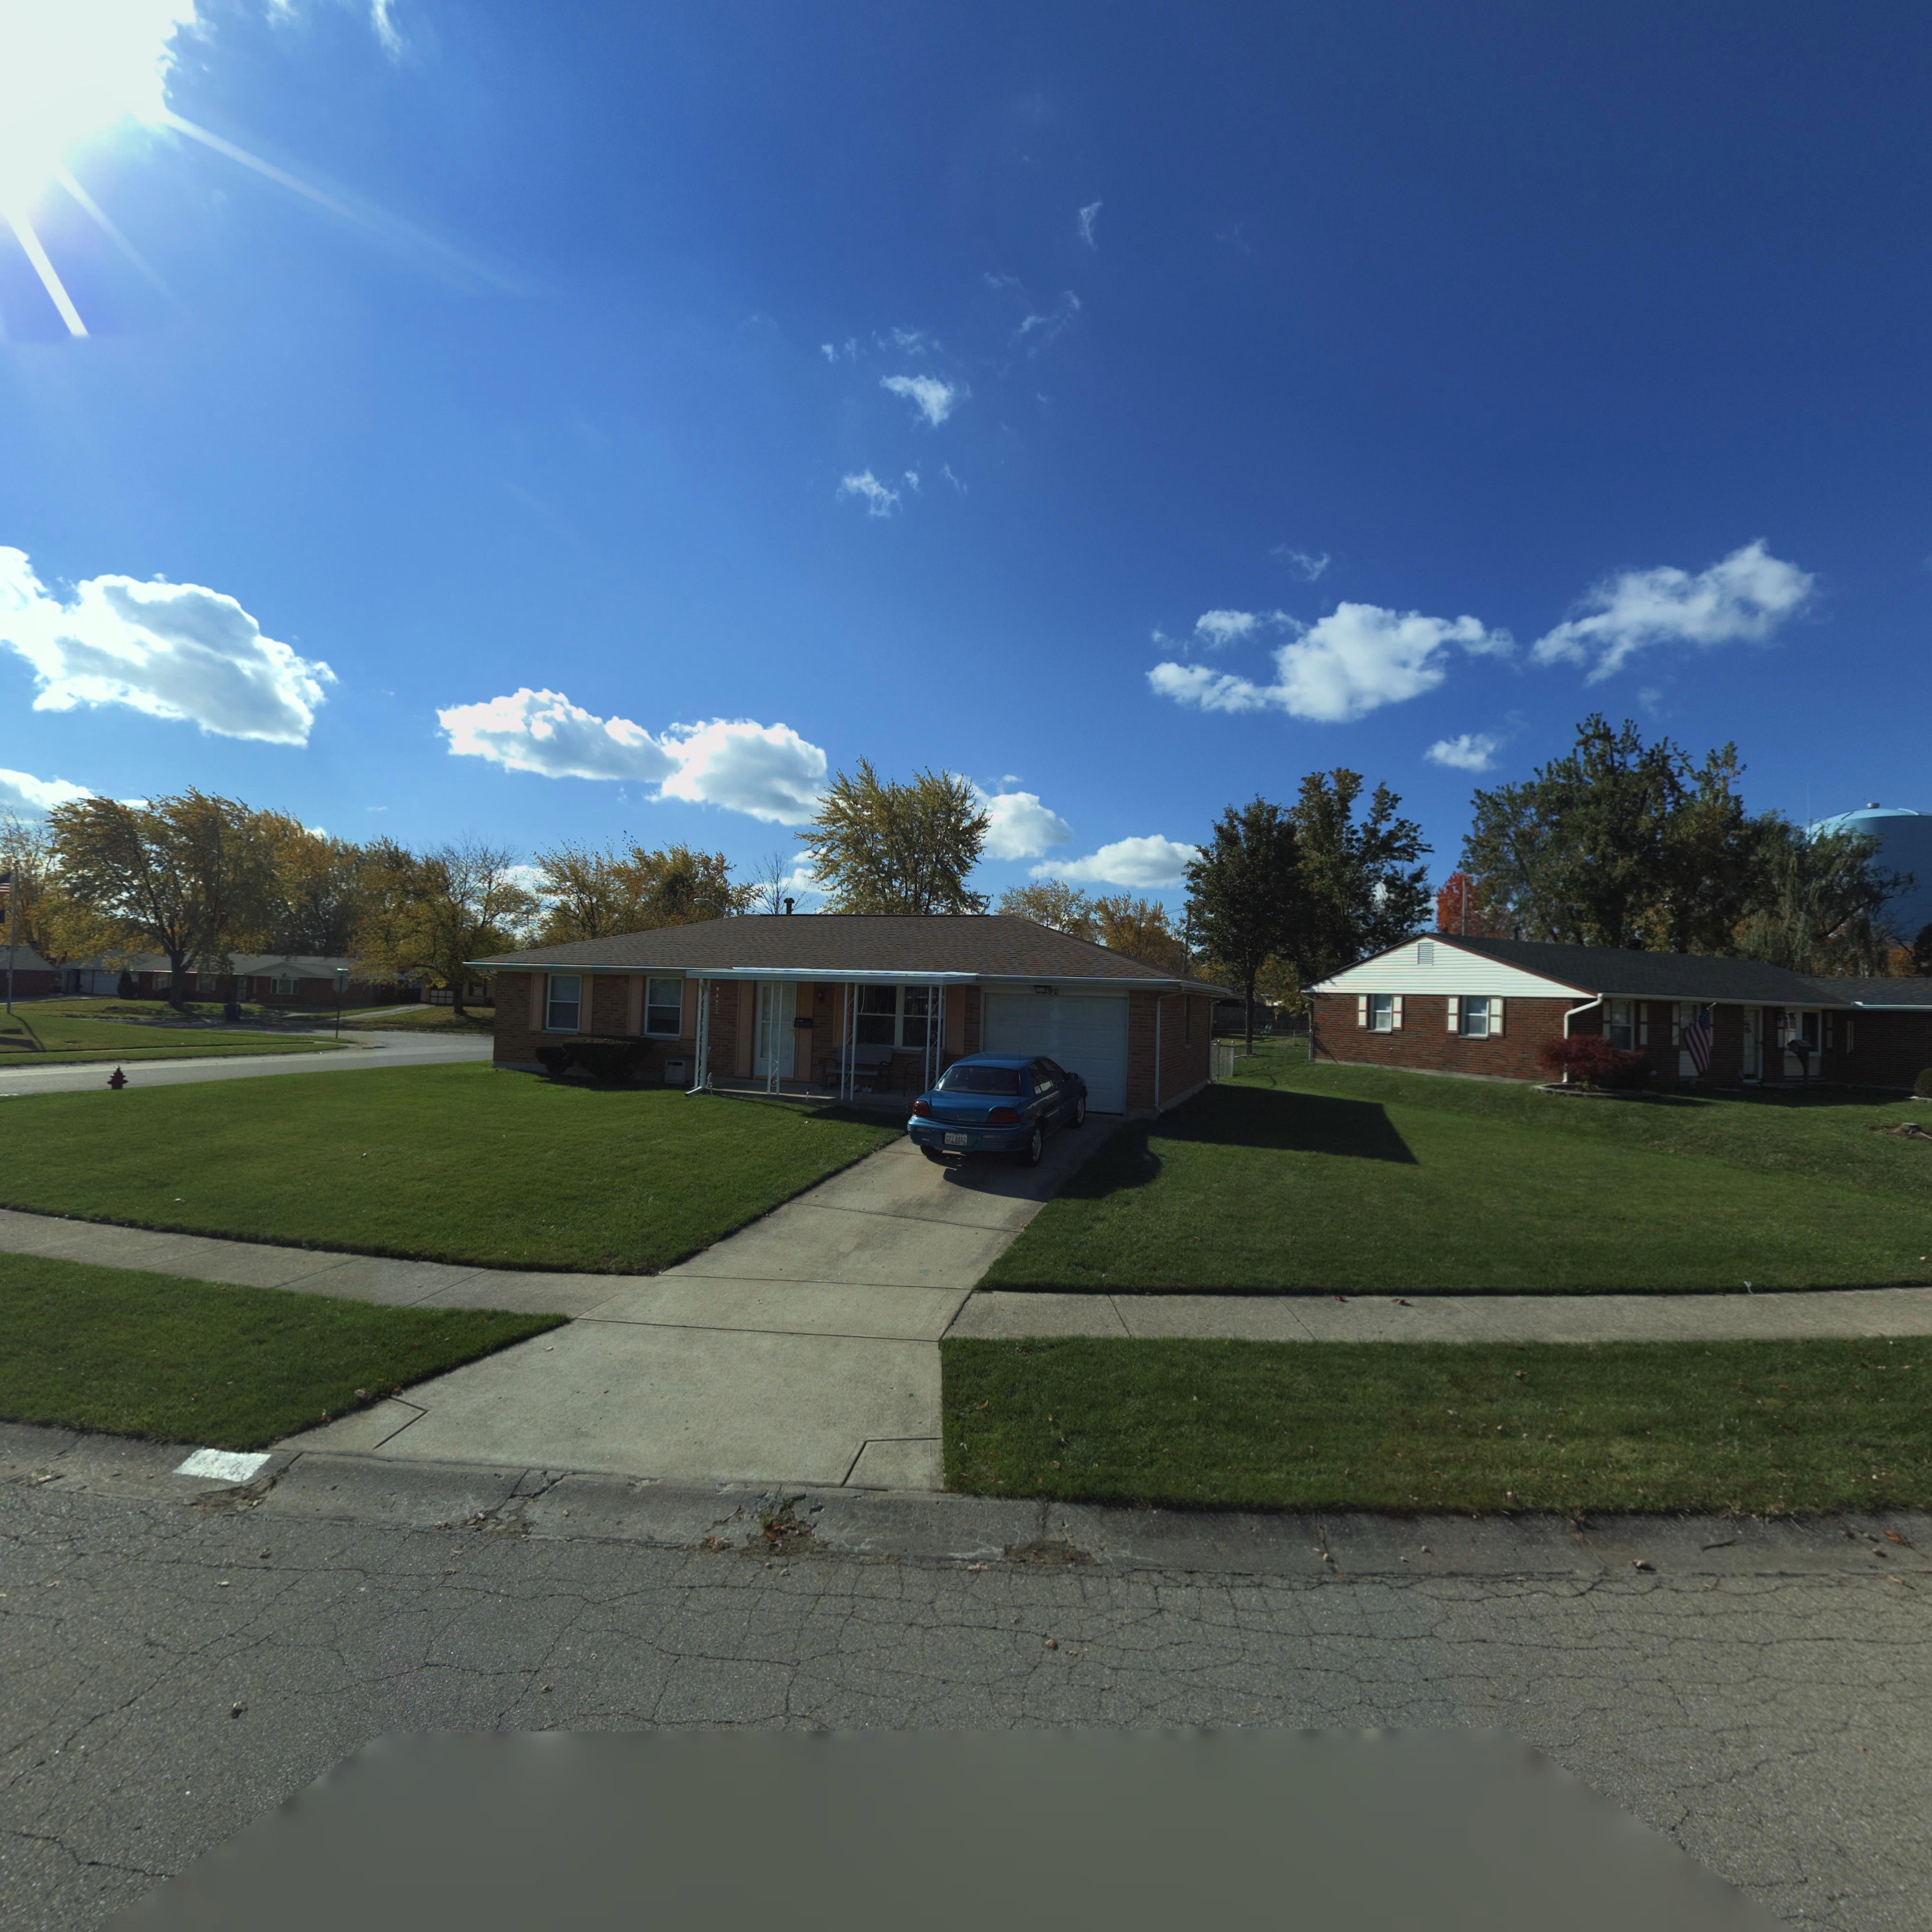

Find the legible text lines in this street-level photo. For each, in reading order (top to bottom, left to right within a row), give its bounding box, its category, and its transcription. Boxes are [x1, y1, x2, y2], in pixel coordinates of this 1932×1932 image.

[1047, 986, 1060, 995] StreetNumber: 90